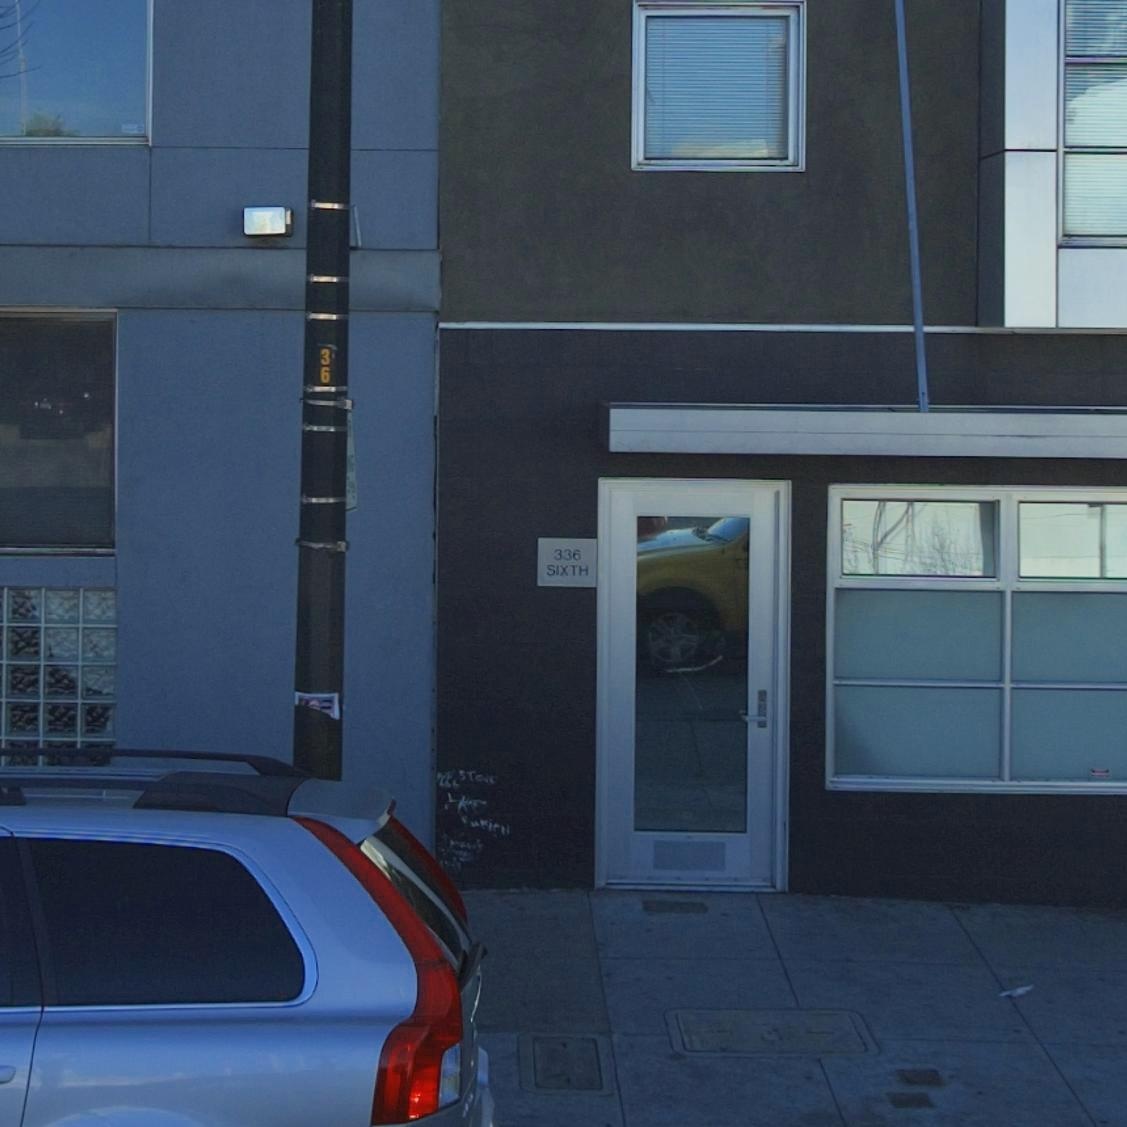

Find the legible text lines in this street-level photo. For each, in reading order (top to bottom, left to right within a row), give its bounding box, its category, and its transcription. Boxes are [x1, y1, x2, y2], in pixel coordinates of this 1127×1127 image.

[320, 347, 331, 383] None: 36
[553, 548, 582, 562] StreetNumber: 336
[545, 563, 589, 577] StreetName: SIXTH